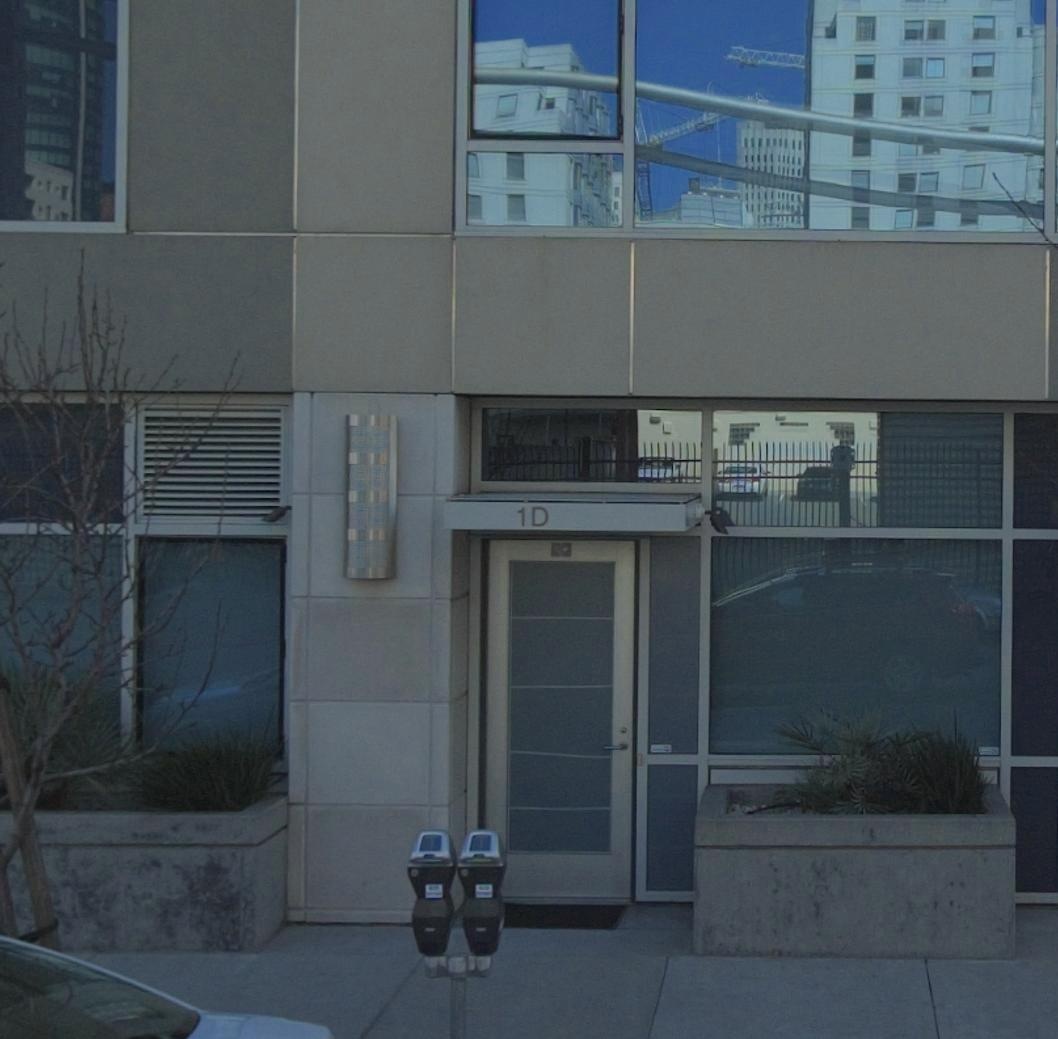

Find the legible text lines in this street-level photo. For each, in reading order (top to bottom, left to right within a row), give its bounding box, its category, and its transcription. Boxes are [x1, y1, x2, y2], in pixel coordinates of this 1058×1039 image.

[513, 503, 552, 530] StreetNumber: 1D